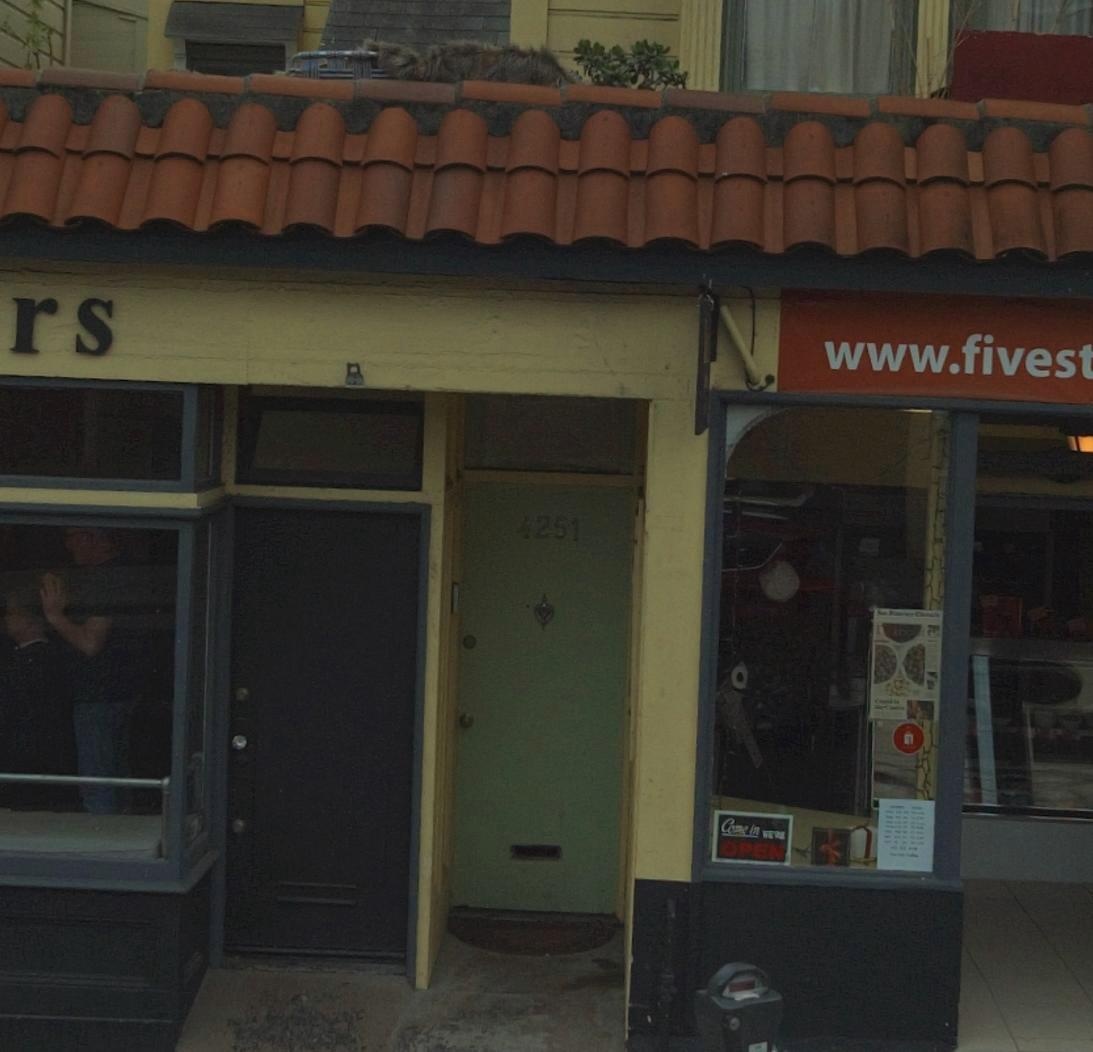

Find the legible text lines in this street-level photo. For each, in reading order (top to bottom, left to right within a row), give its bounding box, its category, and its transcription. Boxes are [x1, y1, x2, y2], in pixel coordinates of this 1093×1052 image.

[0, 295, 115, 357] BusinessName: rs
[823, 330, 1079, 381] None: WWW.fives
[517, 515, 582, 540] StreetNumber: 4251
[720, 816, 761, 838] None: Come In
[761, 829, 786, 841] None: WE'RE
[721, 840, 785, 861] None: OPEN